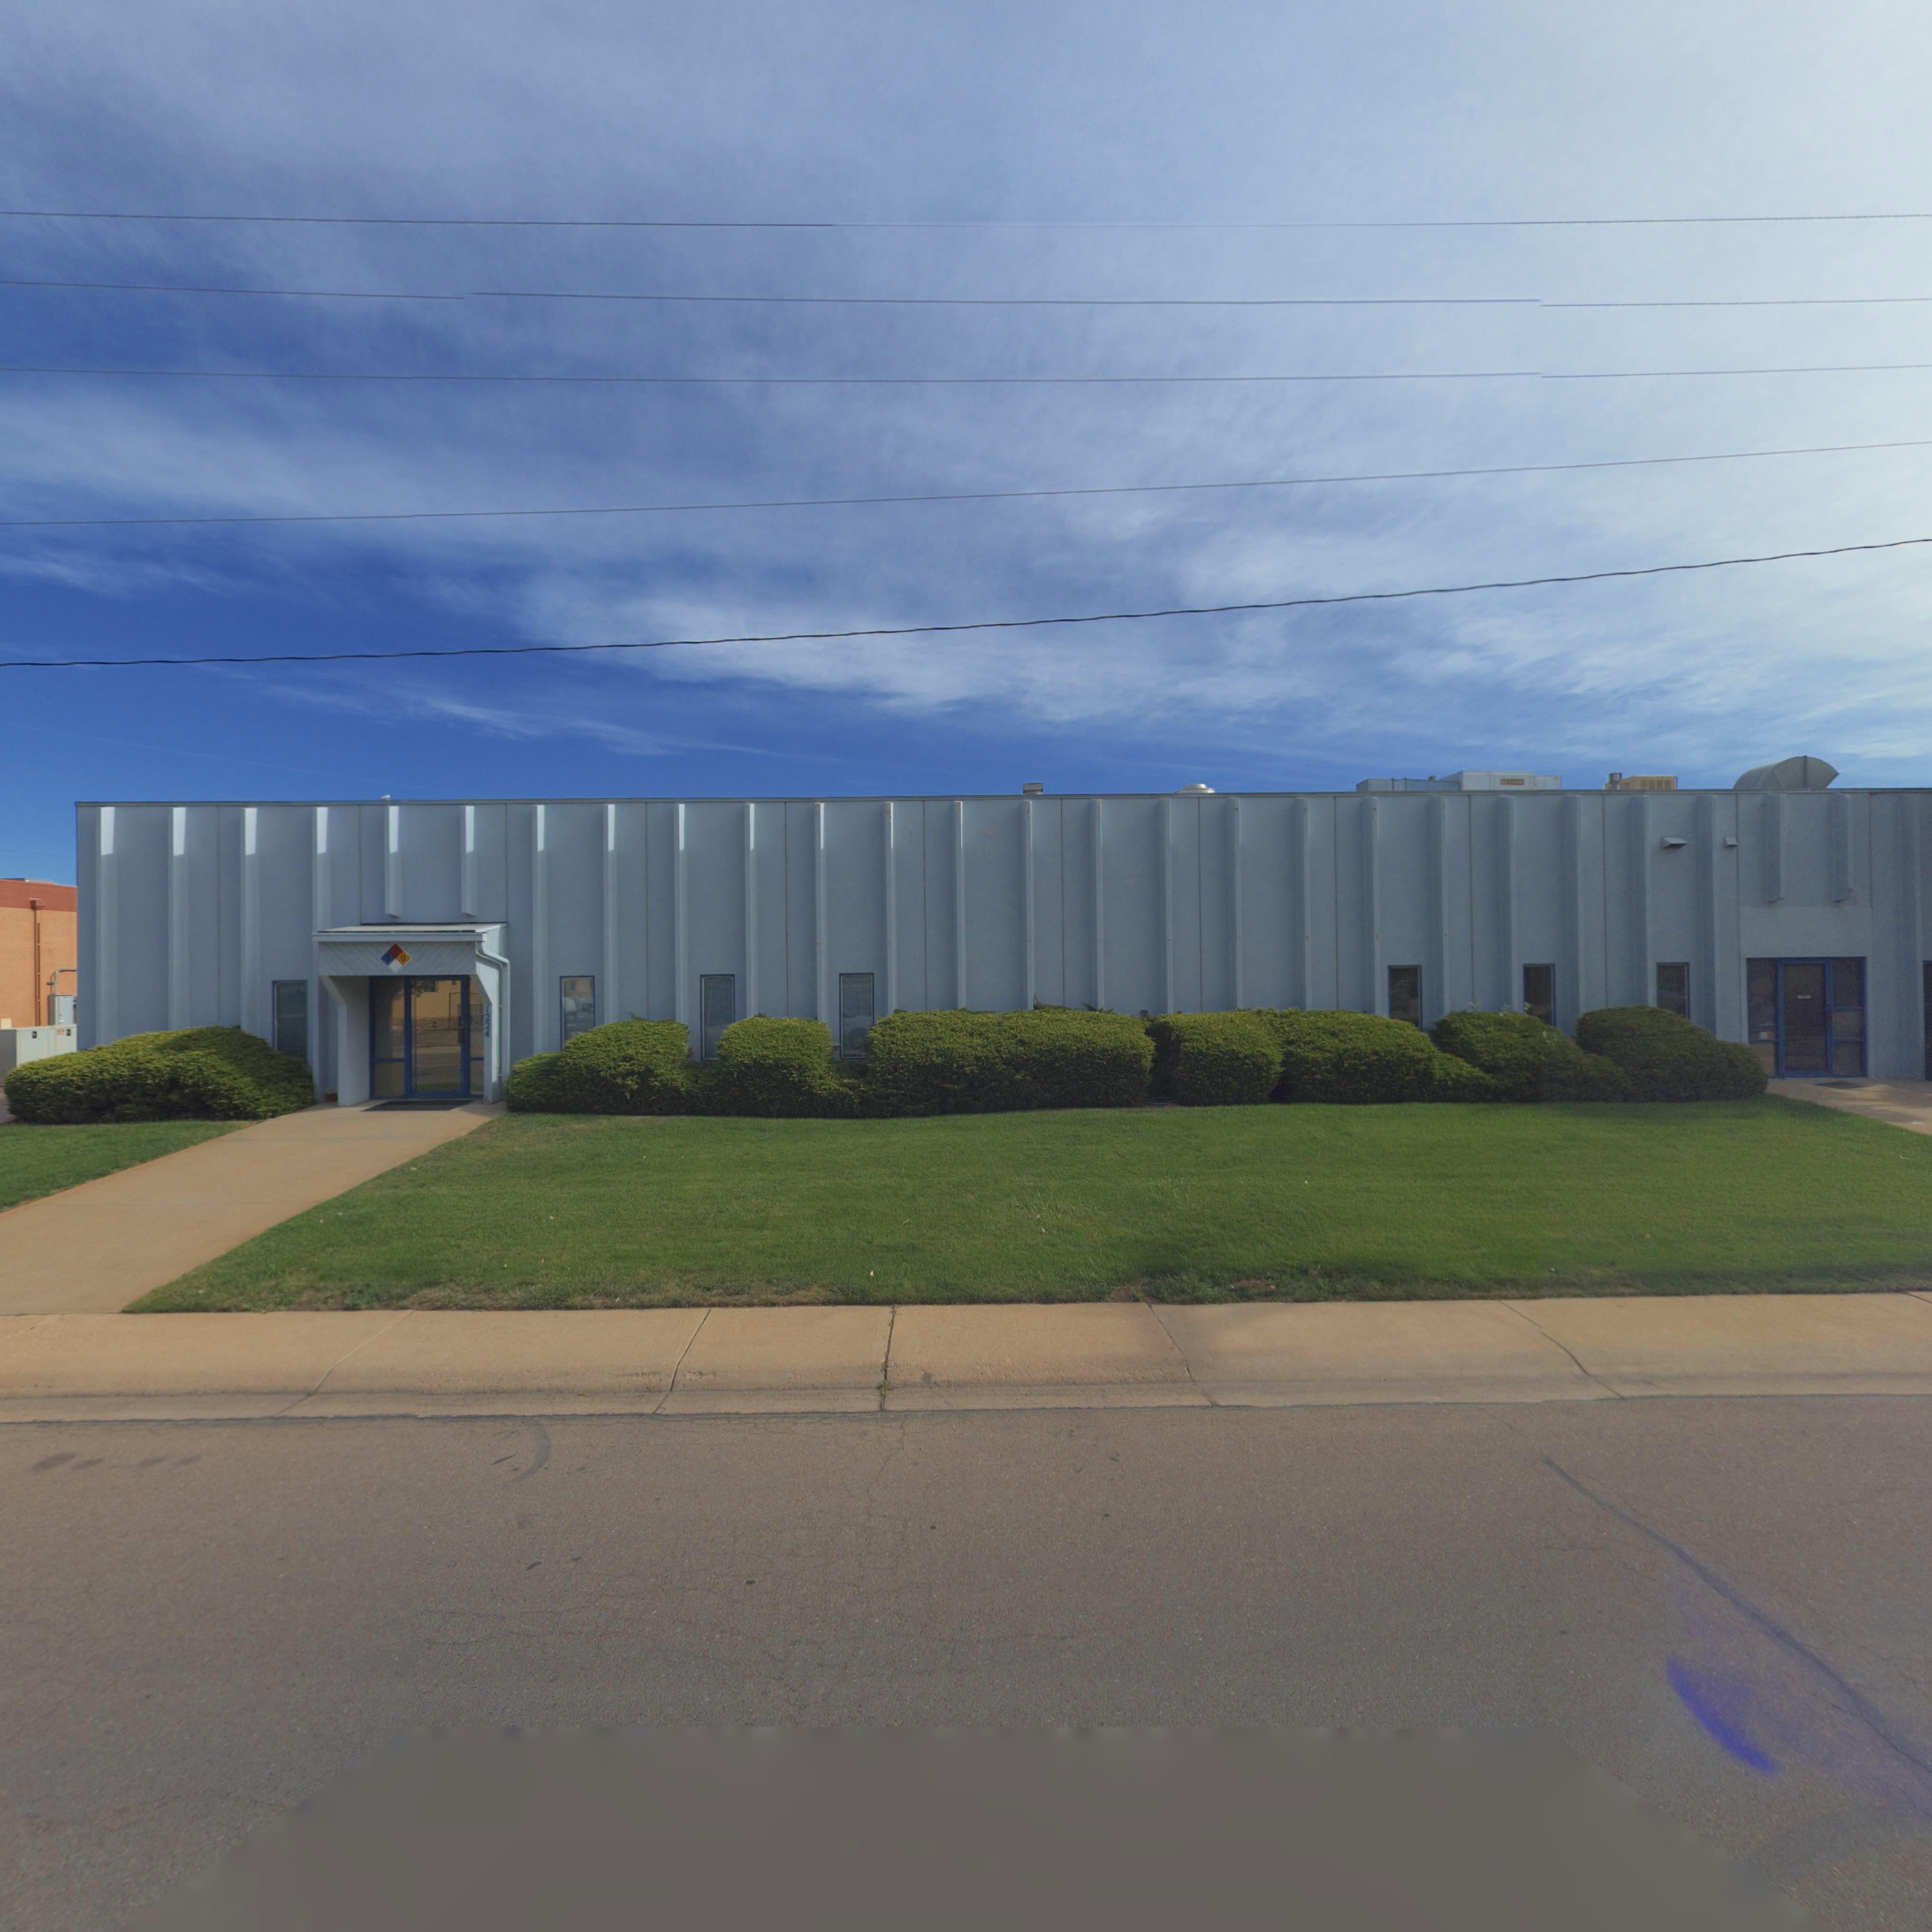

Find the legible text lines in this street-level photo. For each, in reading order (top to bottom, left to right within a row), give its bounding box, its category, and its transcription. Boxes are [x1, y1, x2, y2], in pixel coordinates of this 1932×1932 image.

[485, 1004, 491, 1037] StreetNumber: 1224